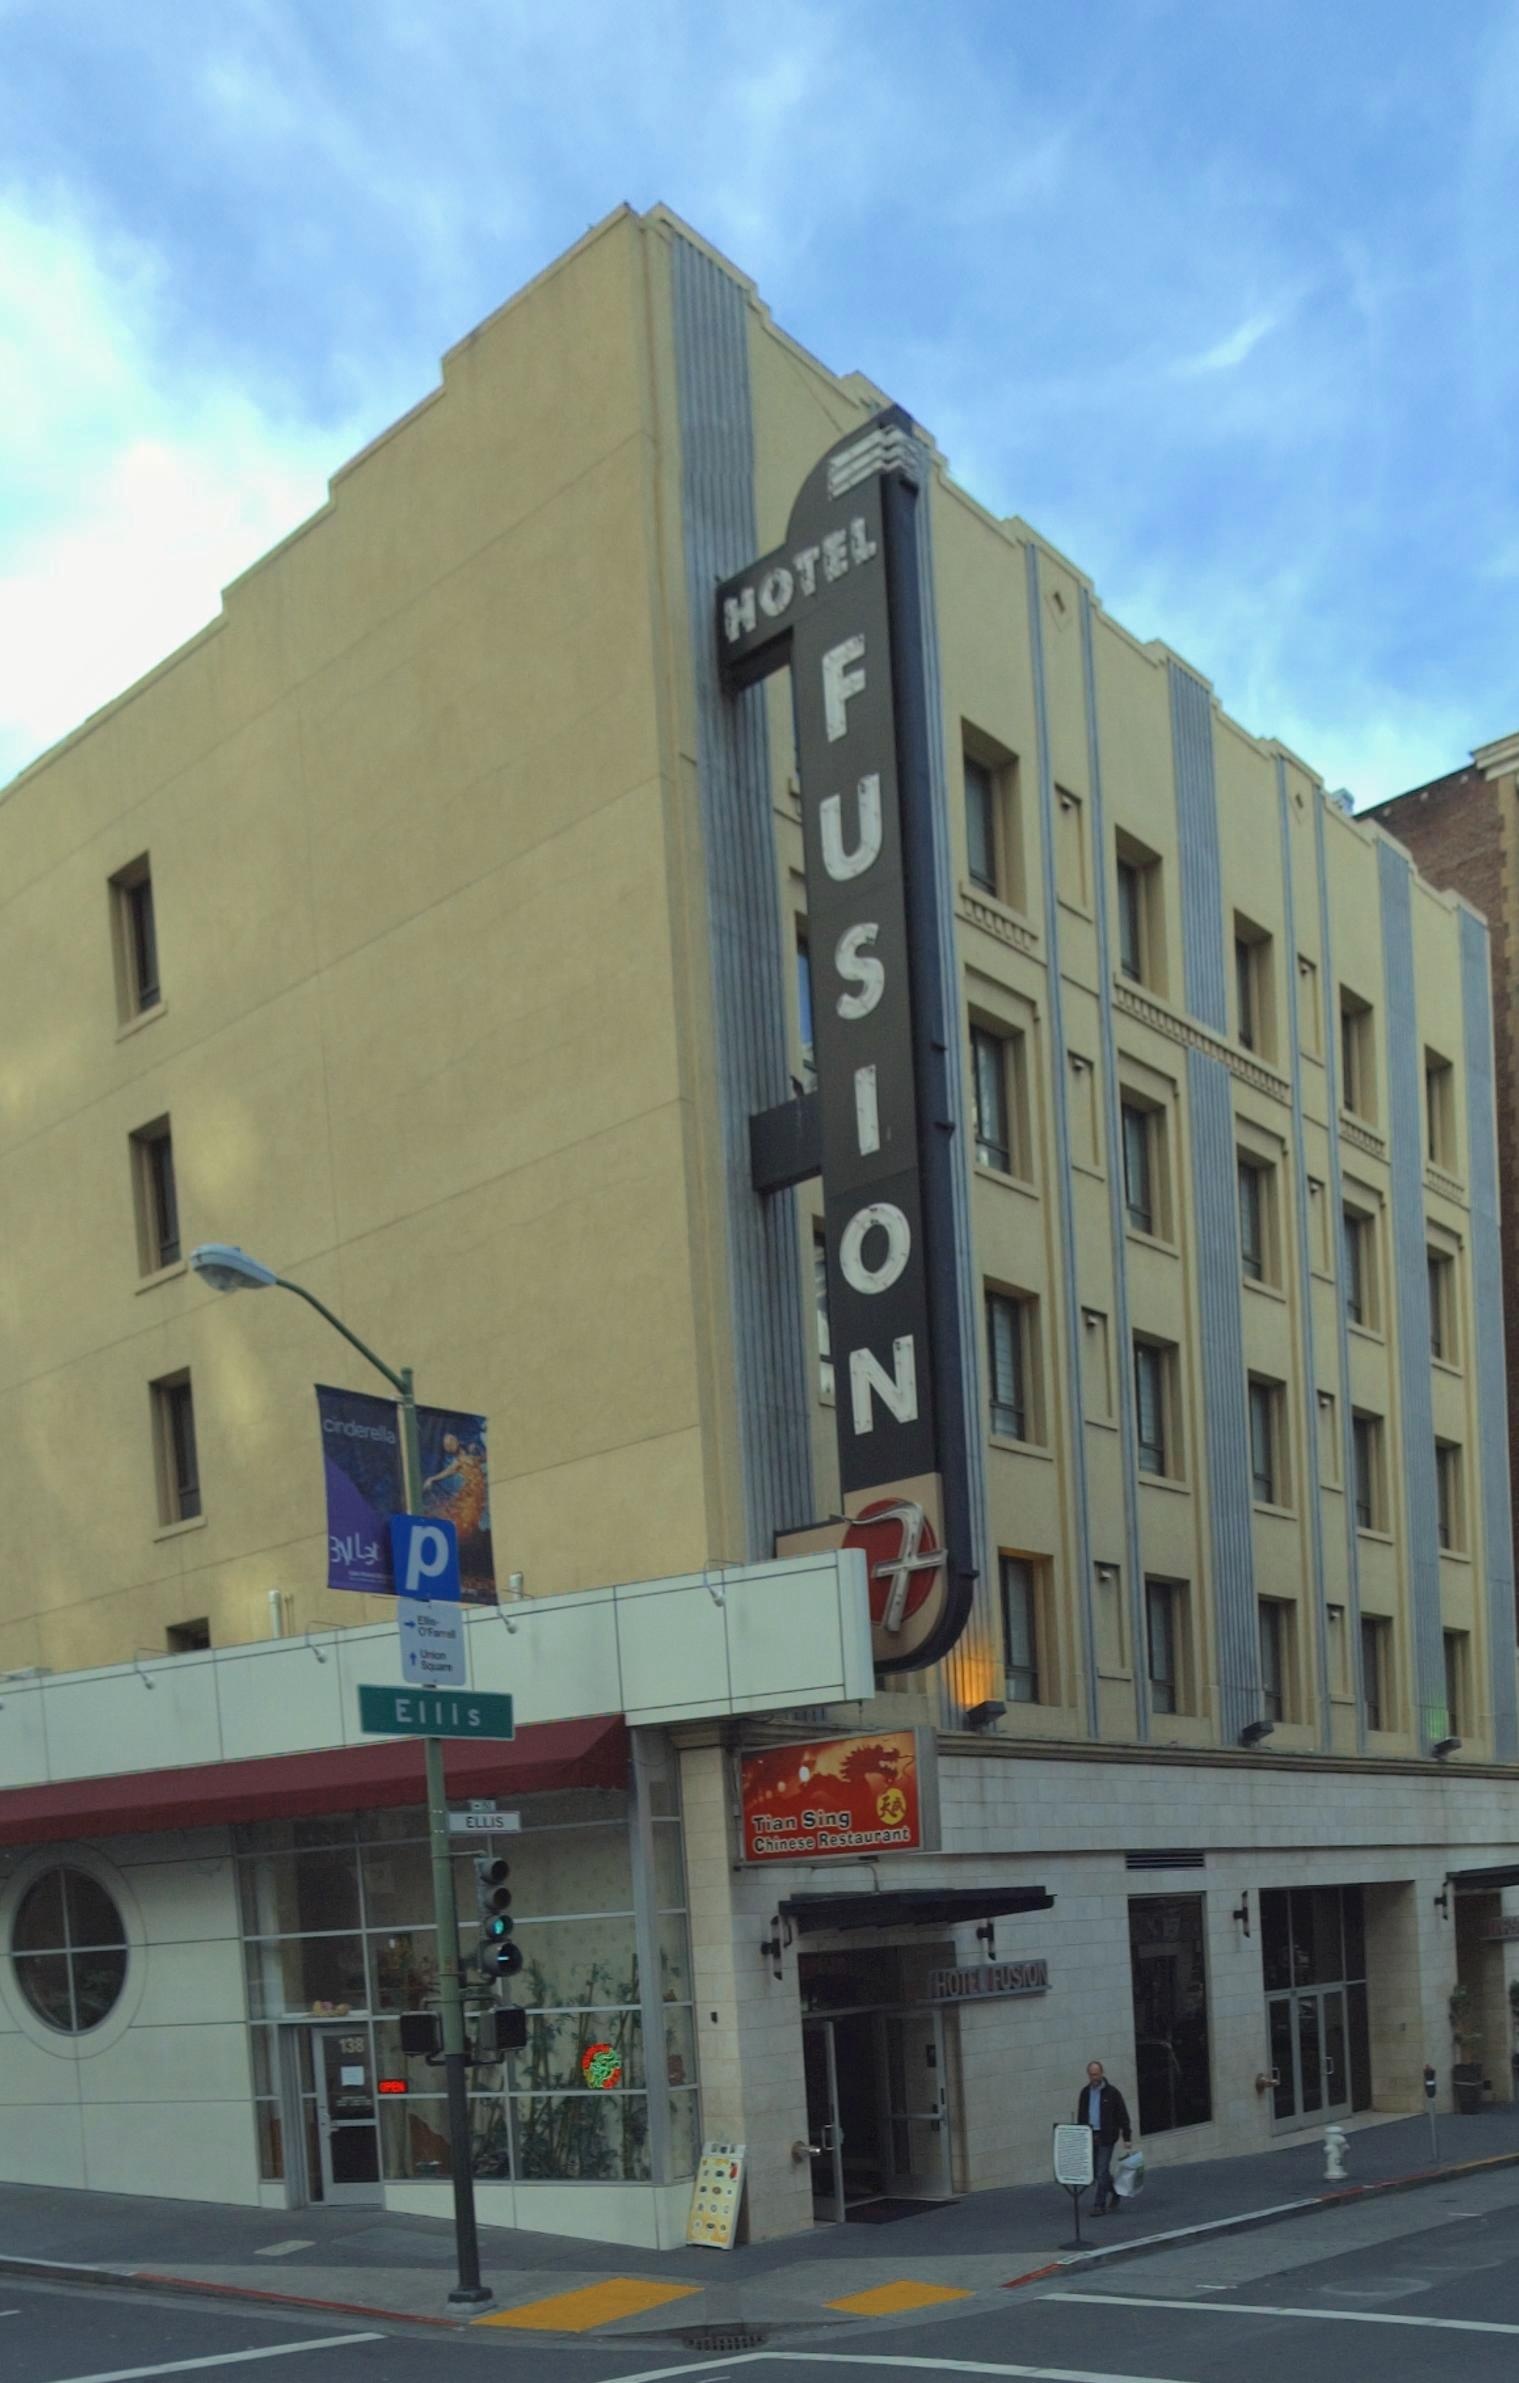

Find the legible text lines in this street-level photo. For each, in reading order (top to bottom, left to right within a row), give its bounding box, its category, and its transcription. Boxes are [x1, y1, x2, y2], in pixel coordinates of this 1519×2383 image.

[718, 501, 881, 654] BusinessName: HOTEL
[813, 615, 924, 1442] BusinessName: FUSION
[320, 1414, 399, 1448] None: cinderella
[400, 1522, 453, 1595] None: P
[834, 1495, 949, 1641] None: 7
[391, 1694, 485, 1729] StreetName: Ellis
[464, 1813, 506, 1830] StreetName: ELLIS
[749, 1805, 853, 1836] BusinessName: Tian Sing
[750, 1822, 913, 1856] None: Chinese Restaurant
[931, 1957, 1053, 2001] BusinessName: HOTEL FUSION
[336, 2035, 366, 2055] StreetNumber: 138